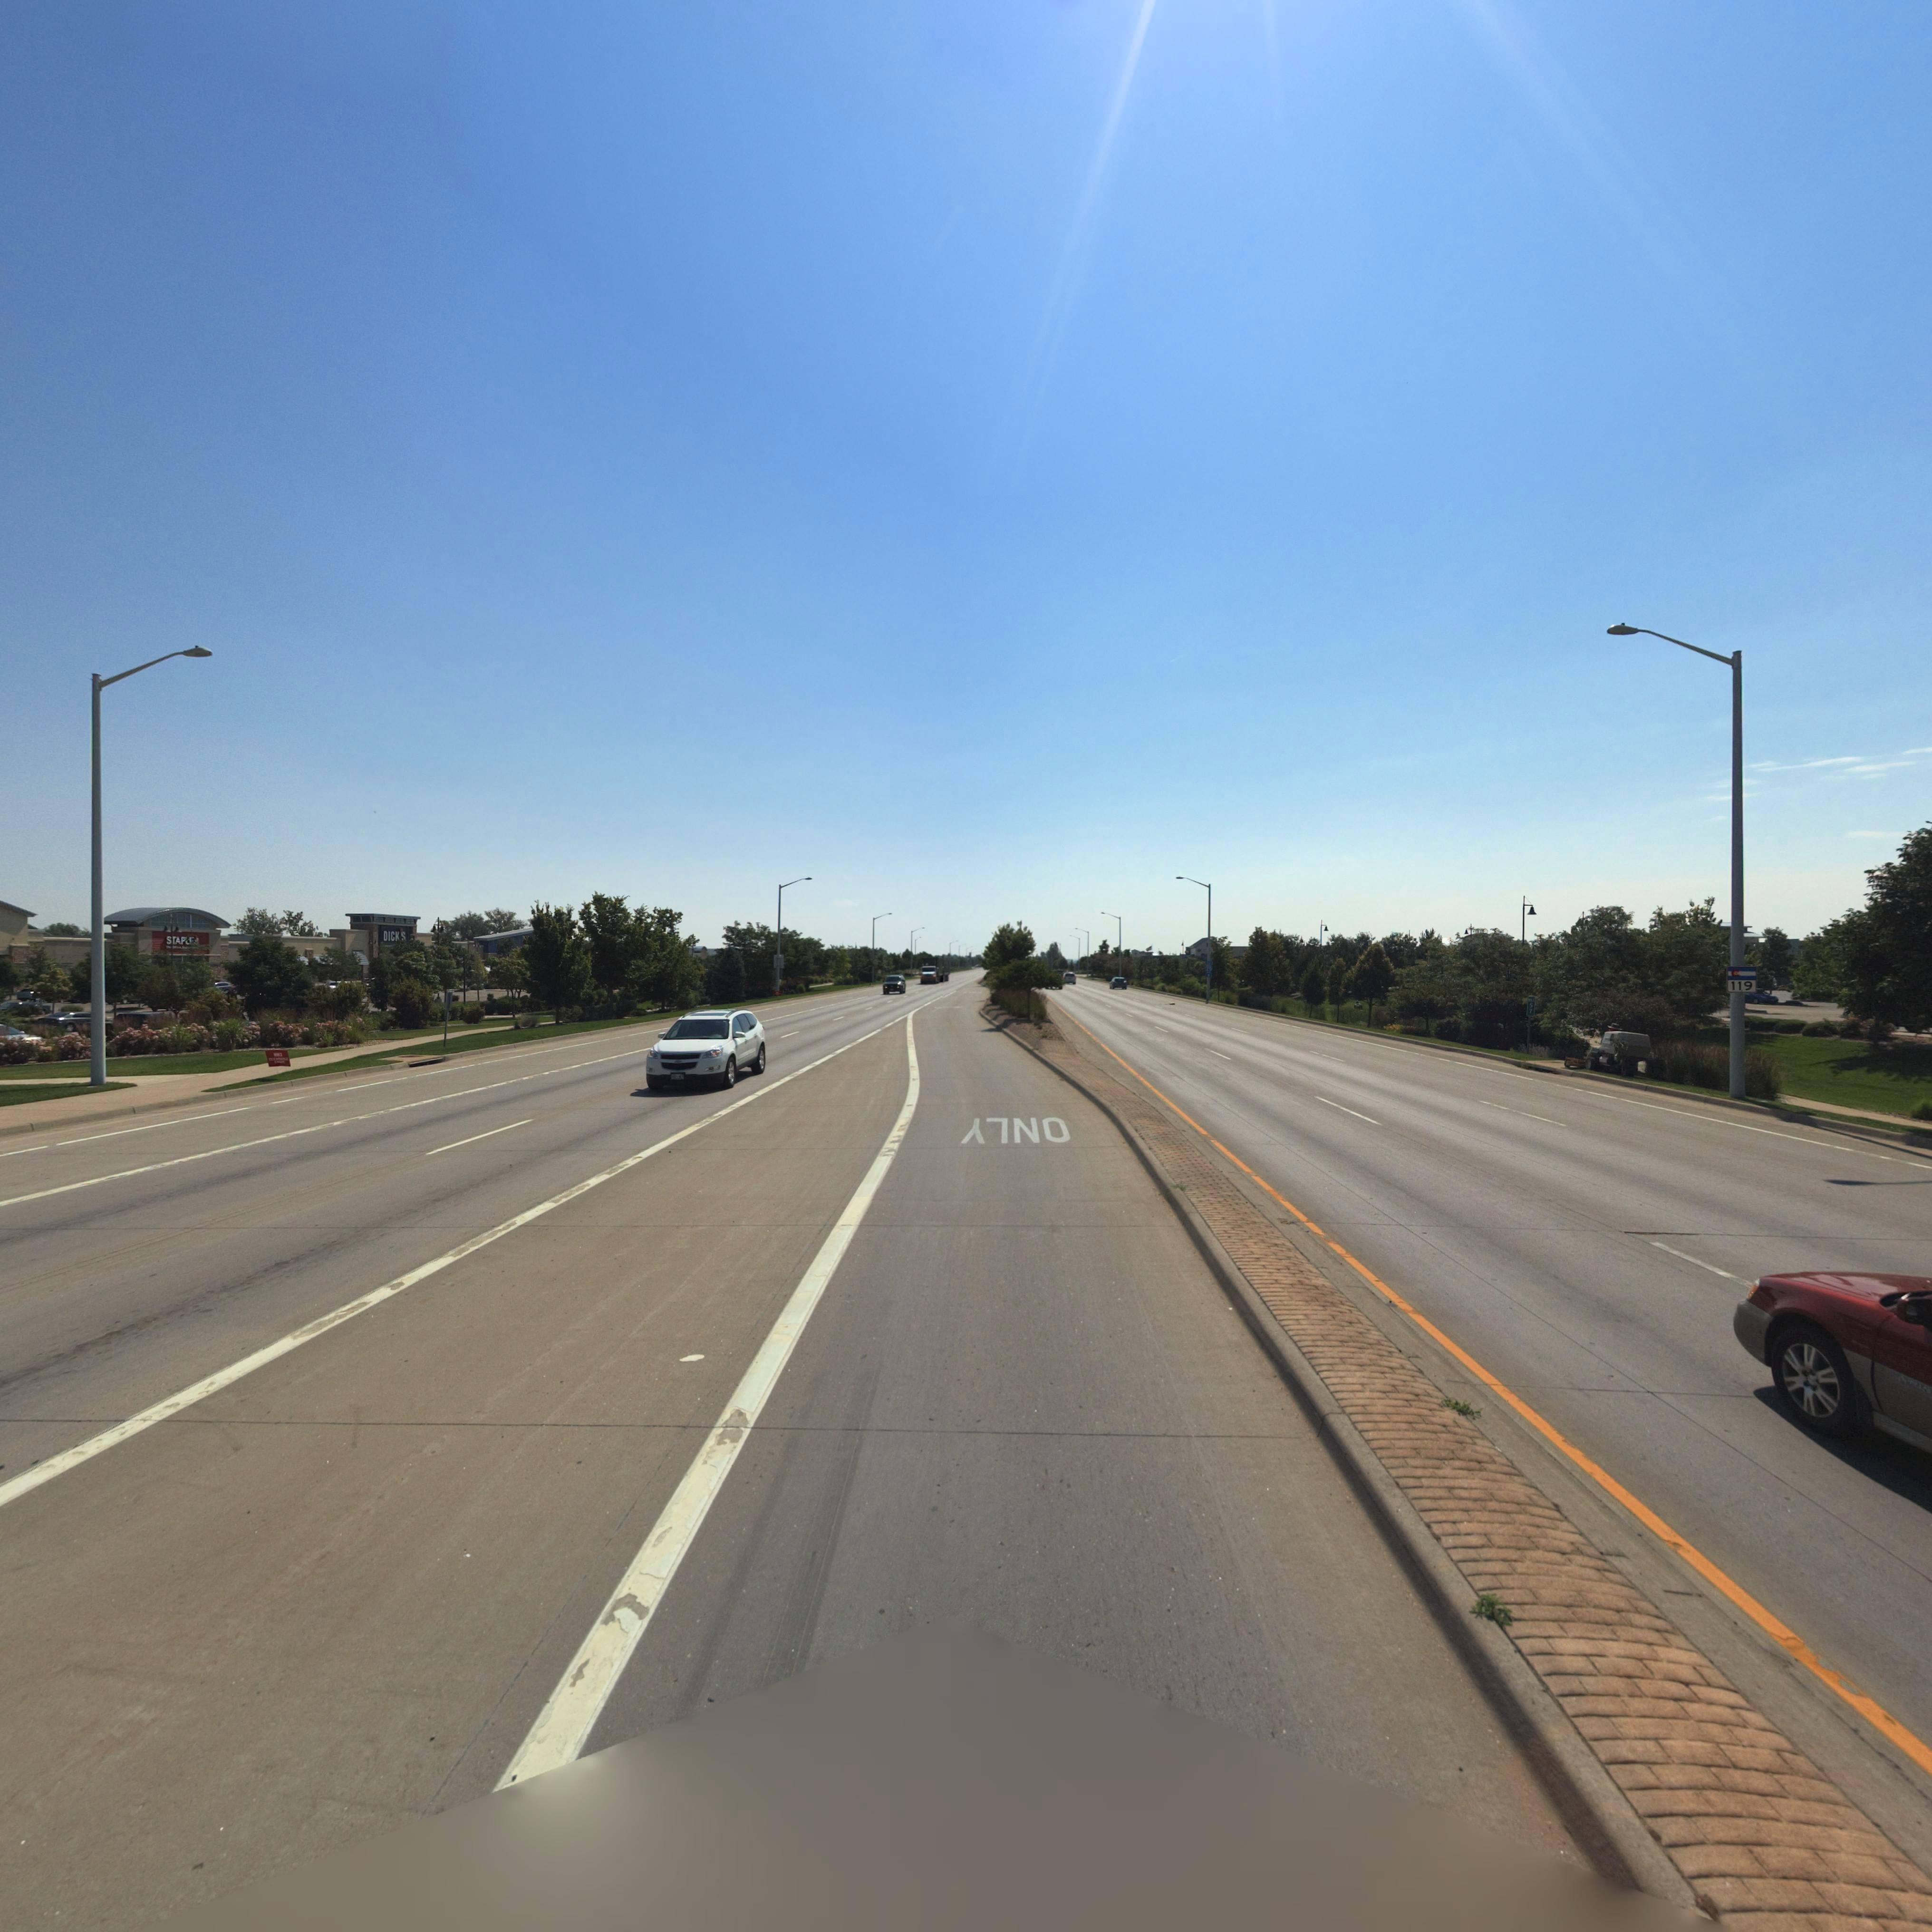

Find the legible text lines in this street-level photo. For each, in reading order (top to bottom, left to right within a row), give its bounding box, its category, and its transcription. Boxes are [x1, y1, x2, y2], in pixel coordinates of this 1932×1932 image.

[165, 936, 198, 945] BusinessName: STAP***
[383, 930, 405, 941] BusinessName: DICK*S